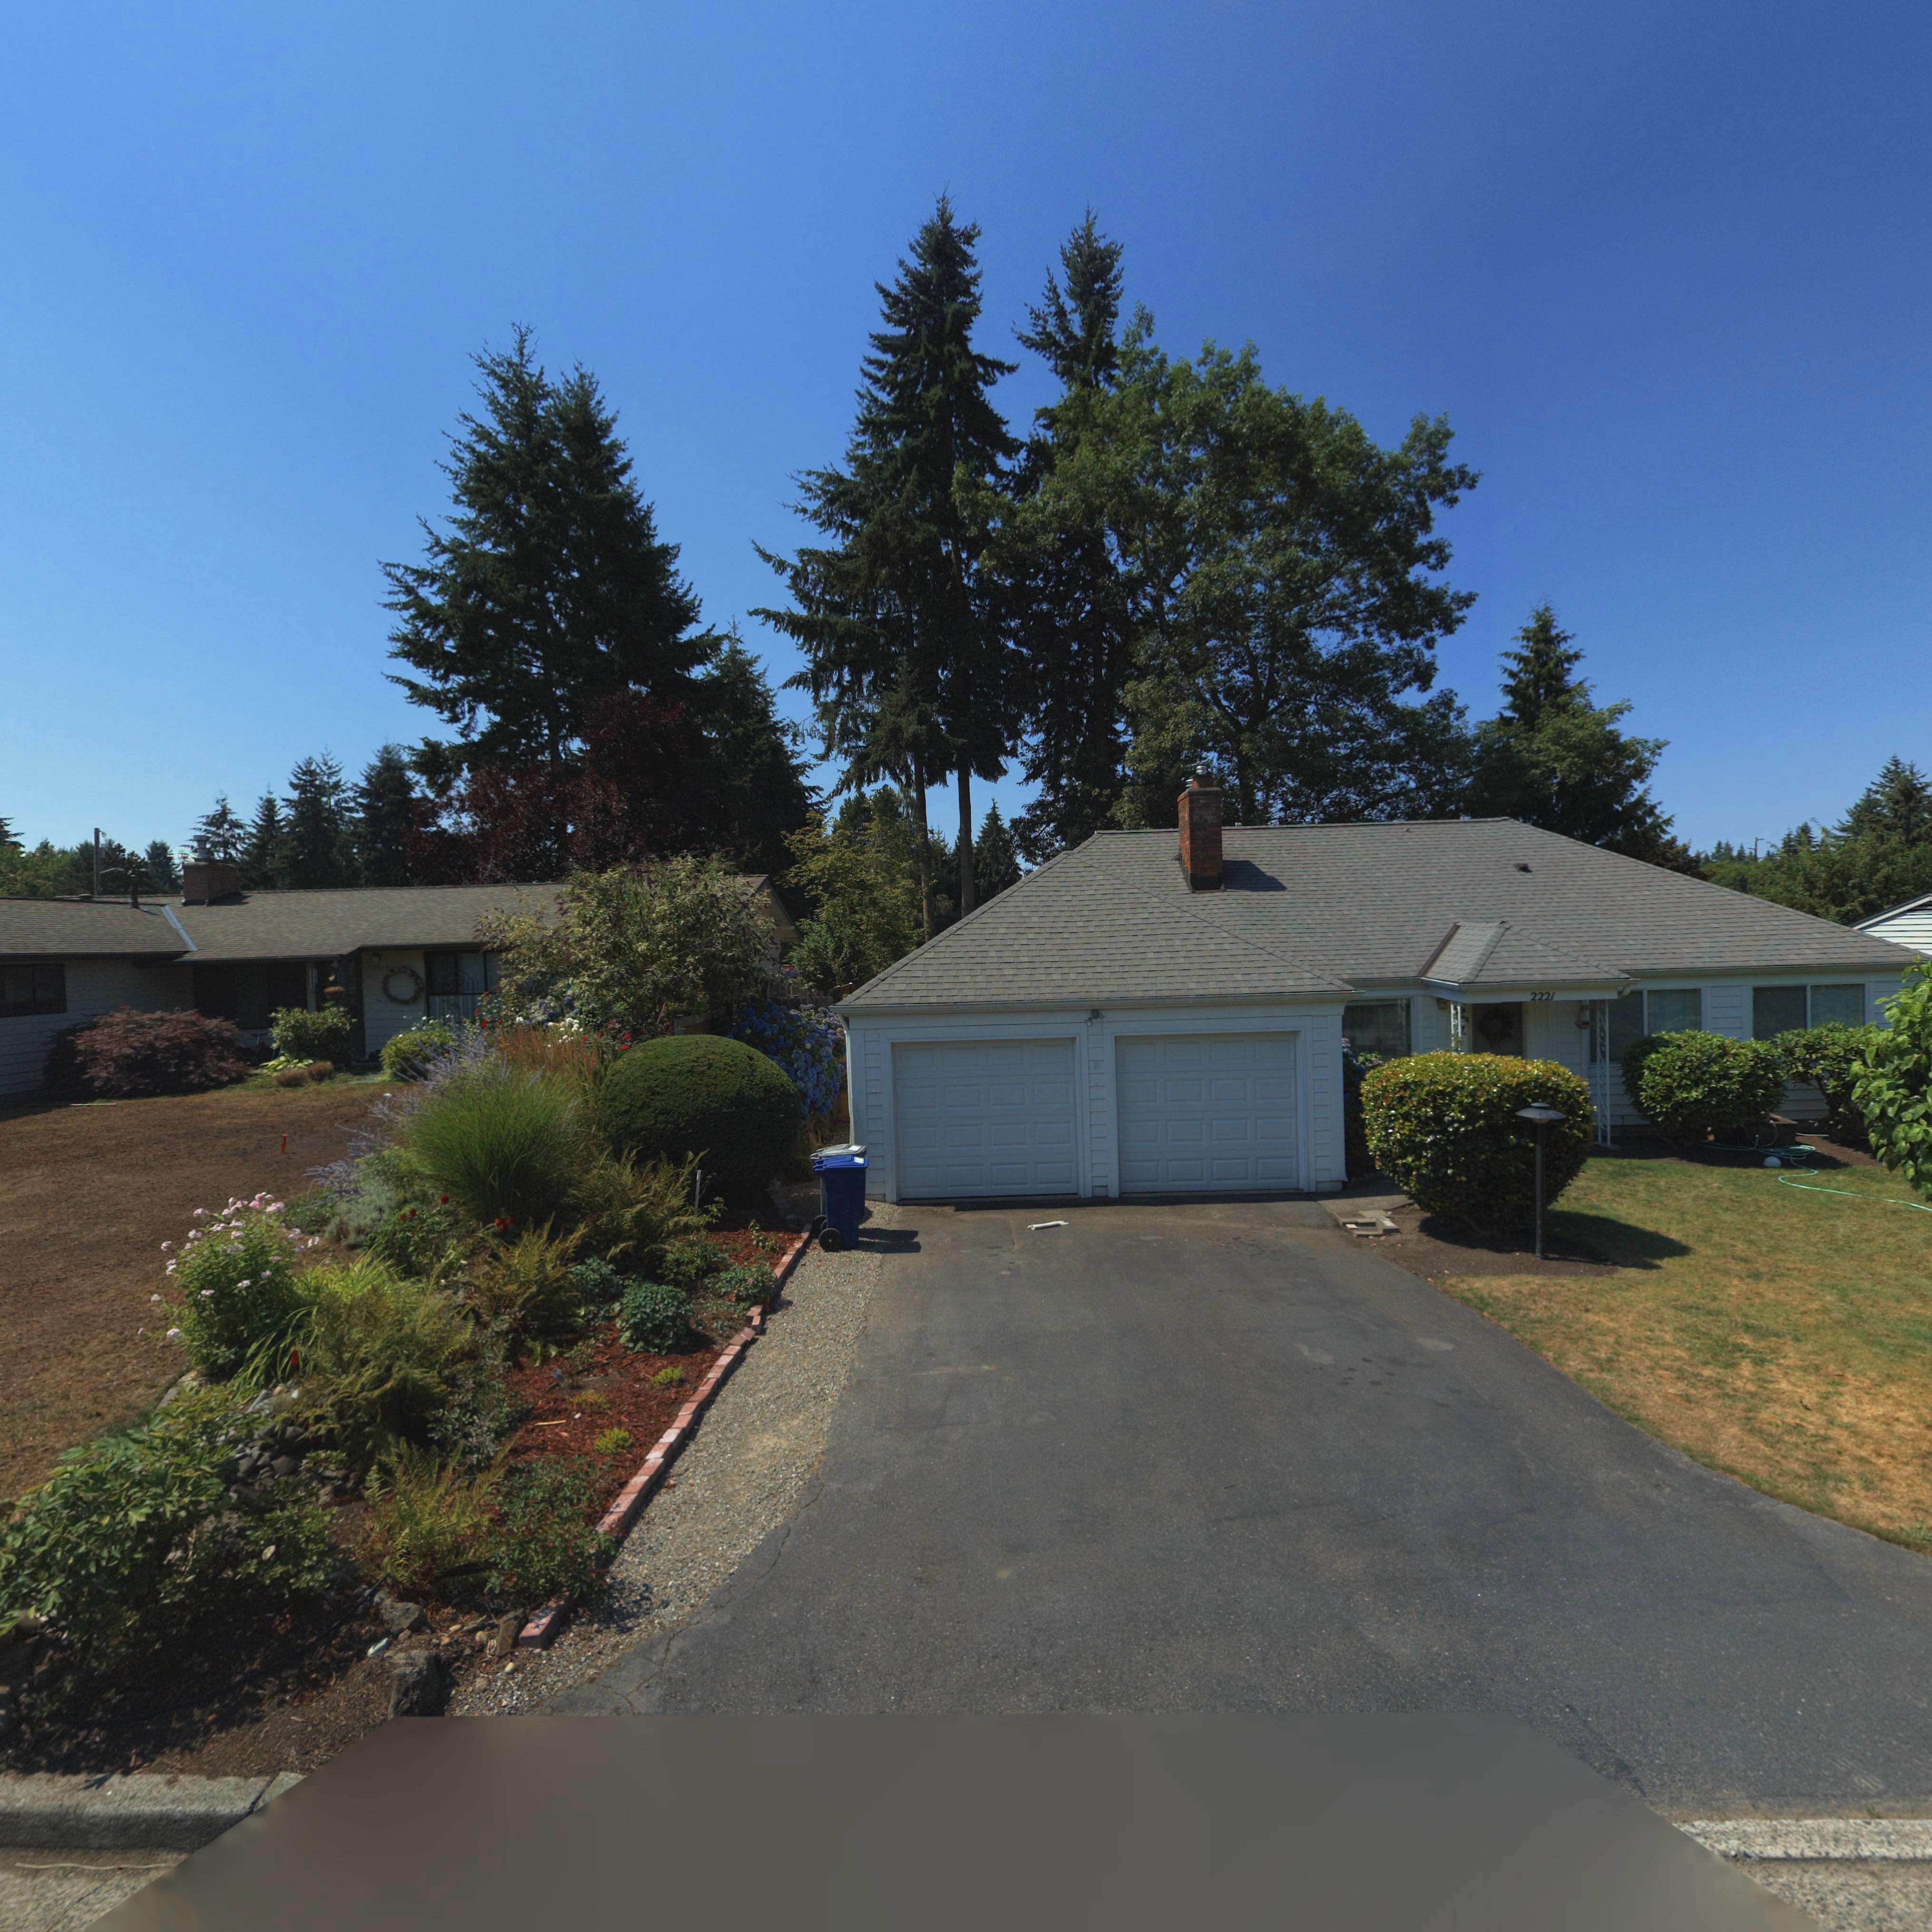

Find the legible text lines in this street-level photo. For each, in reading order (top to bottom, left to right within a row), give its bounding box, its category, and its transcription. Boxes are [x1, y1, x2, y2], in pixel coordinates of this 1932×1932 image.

[1531, 992, 1555, 1002] StreetNumber: 2221